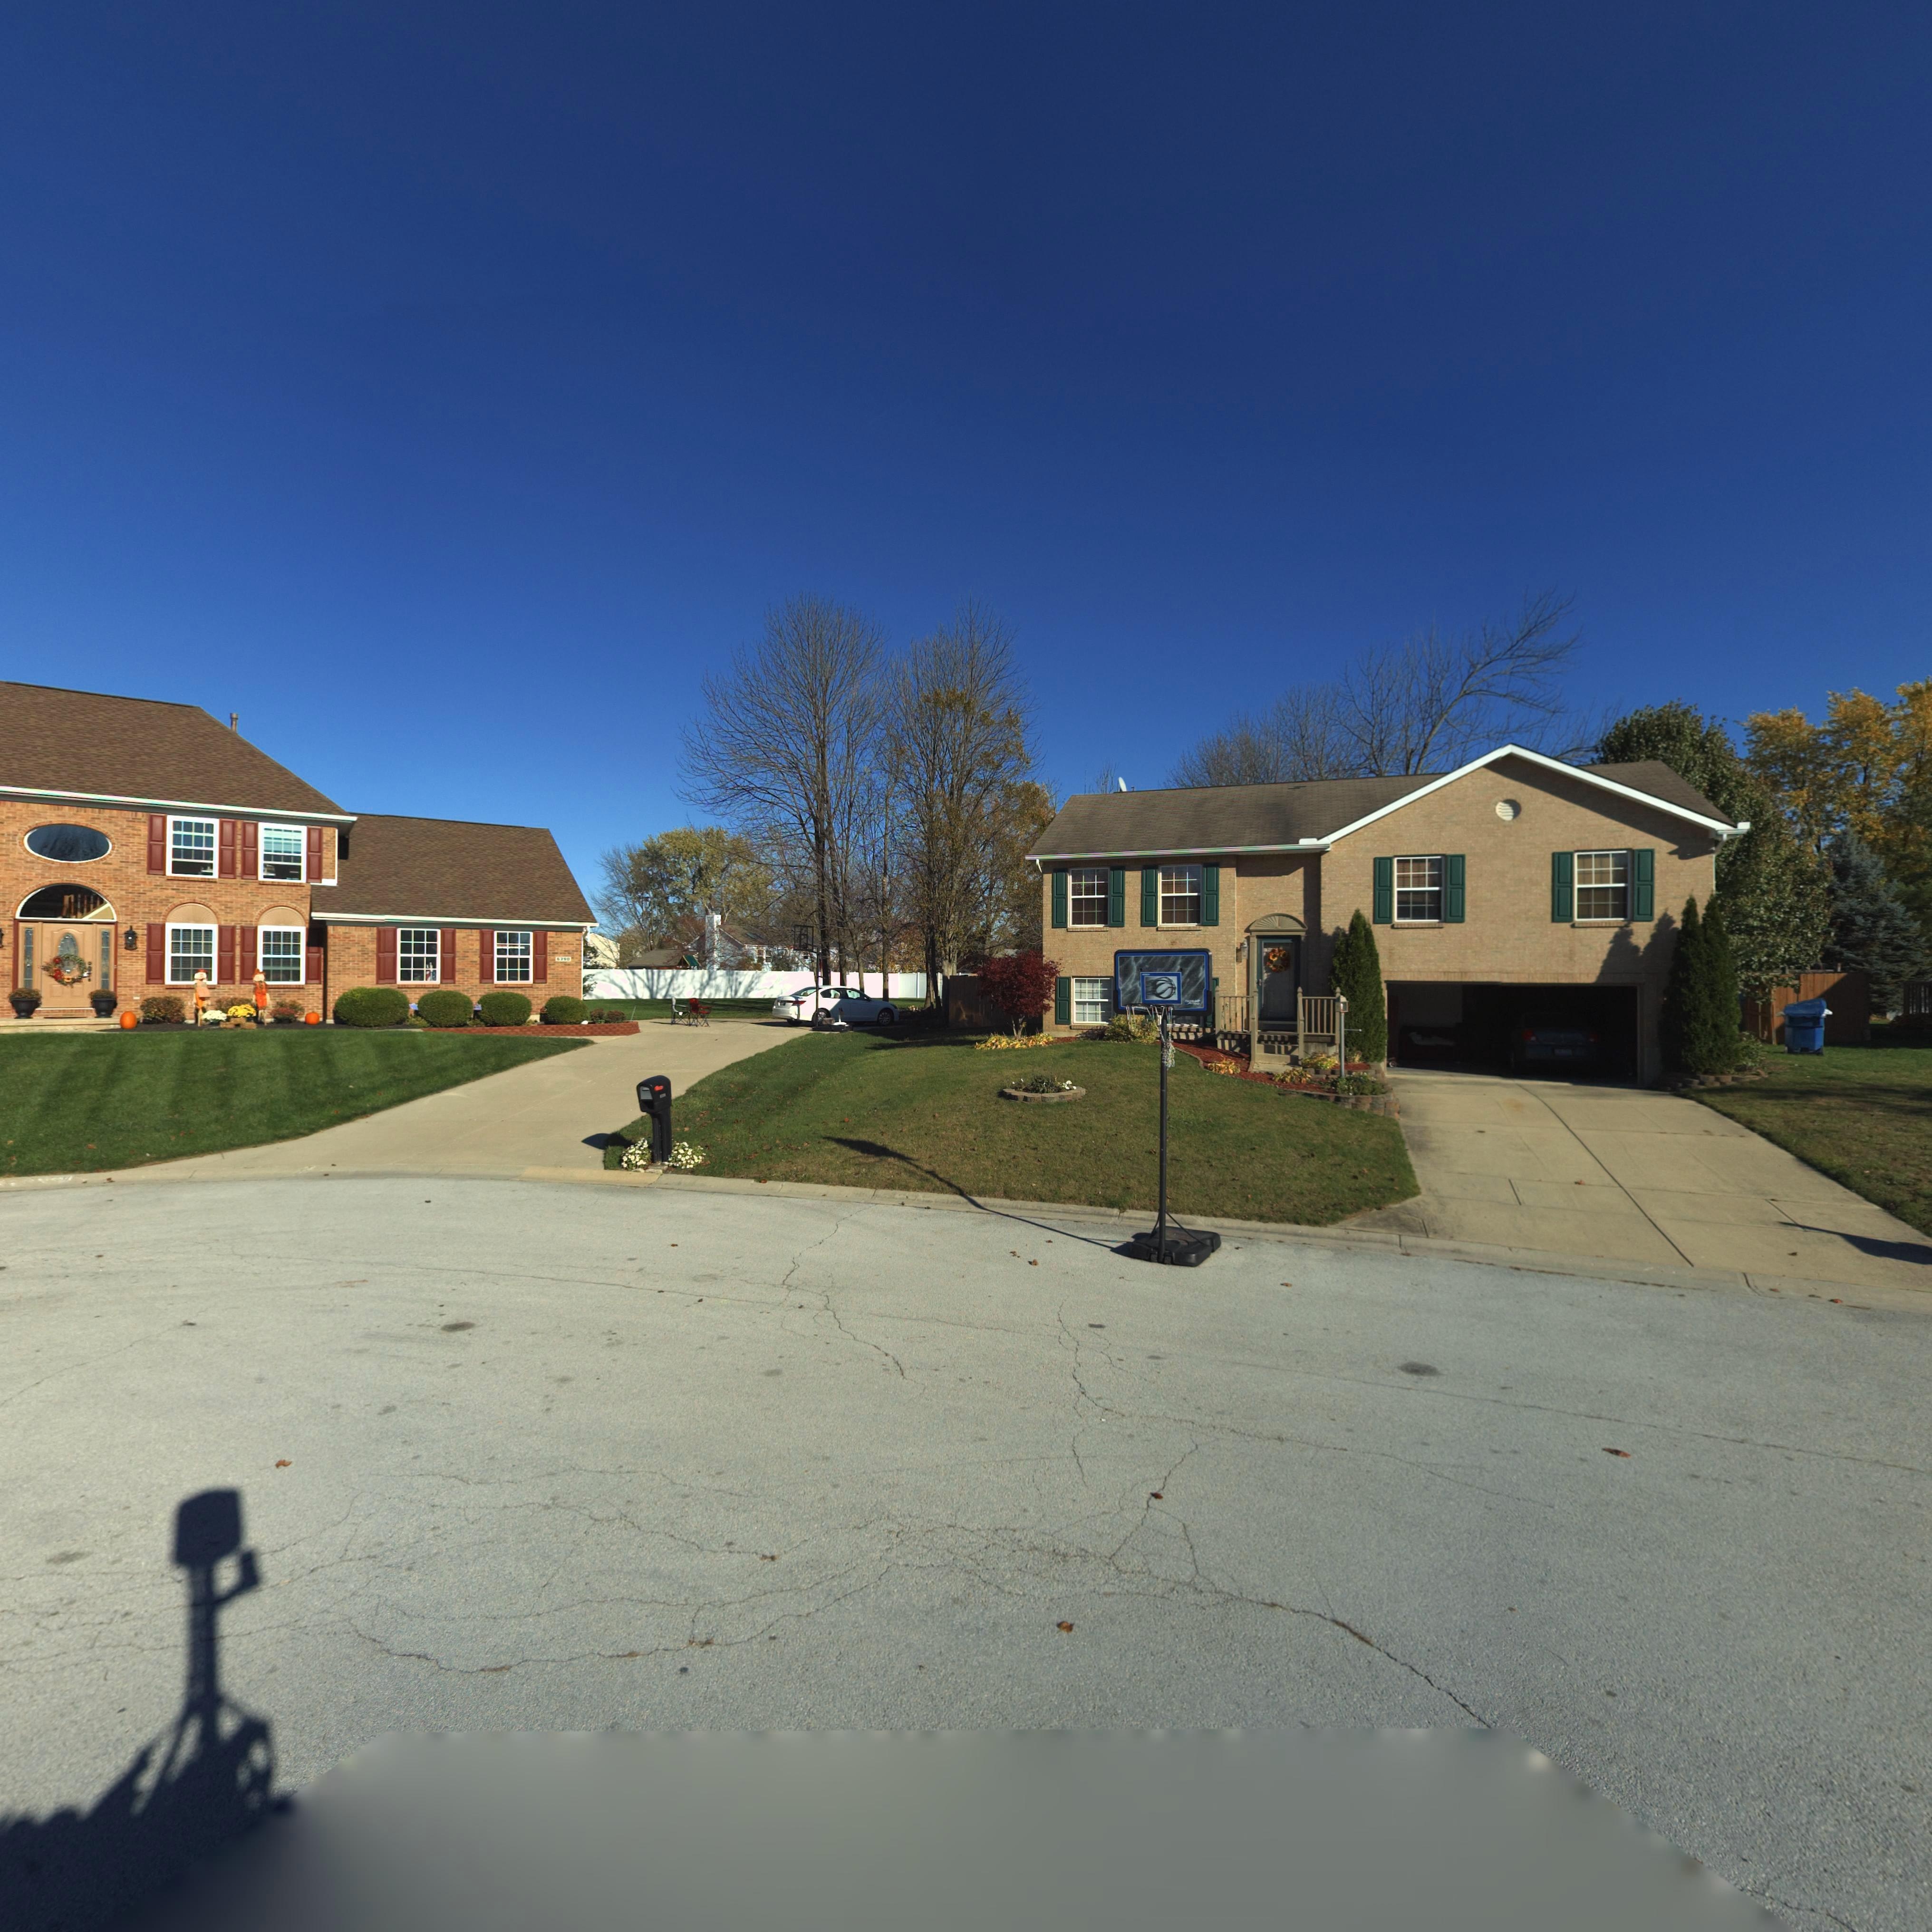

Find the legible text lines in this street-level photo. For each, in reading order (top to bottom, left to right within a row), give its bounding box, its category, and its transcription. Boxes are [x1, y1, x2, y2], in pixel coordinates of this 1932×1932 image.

[556, 957, 570, 961] StreetNumber: 6390